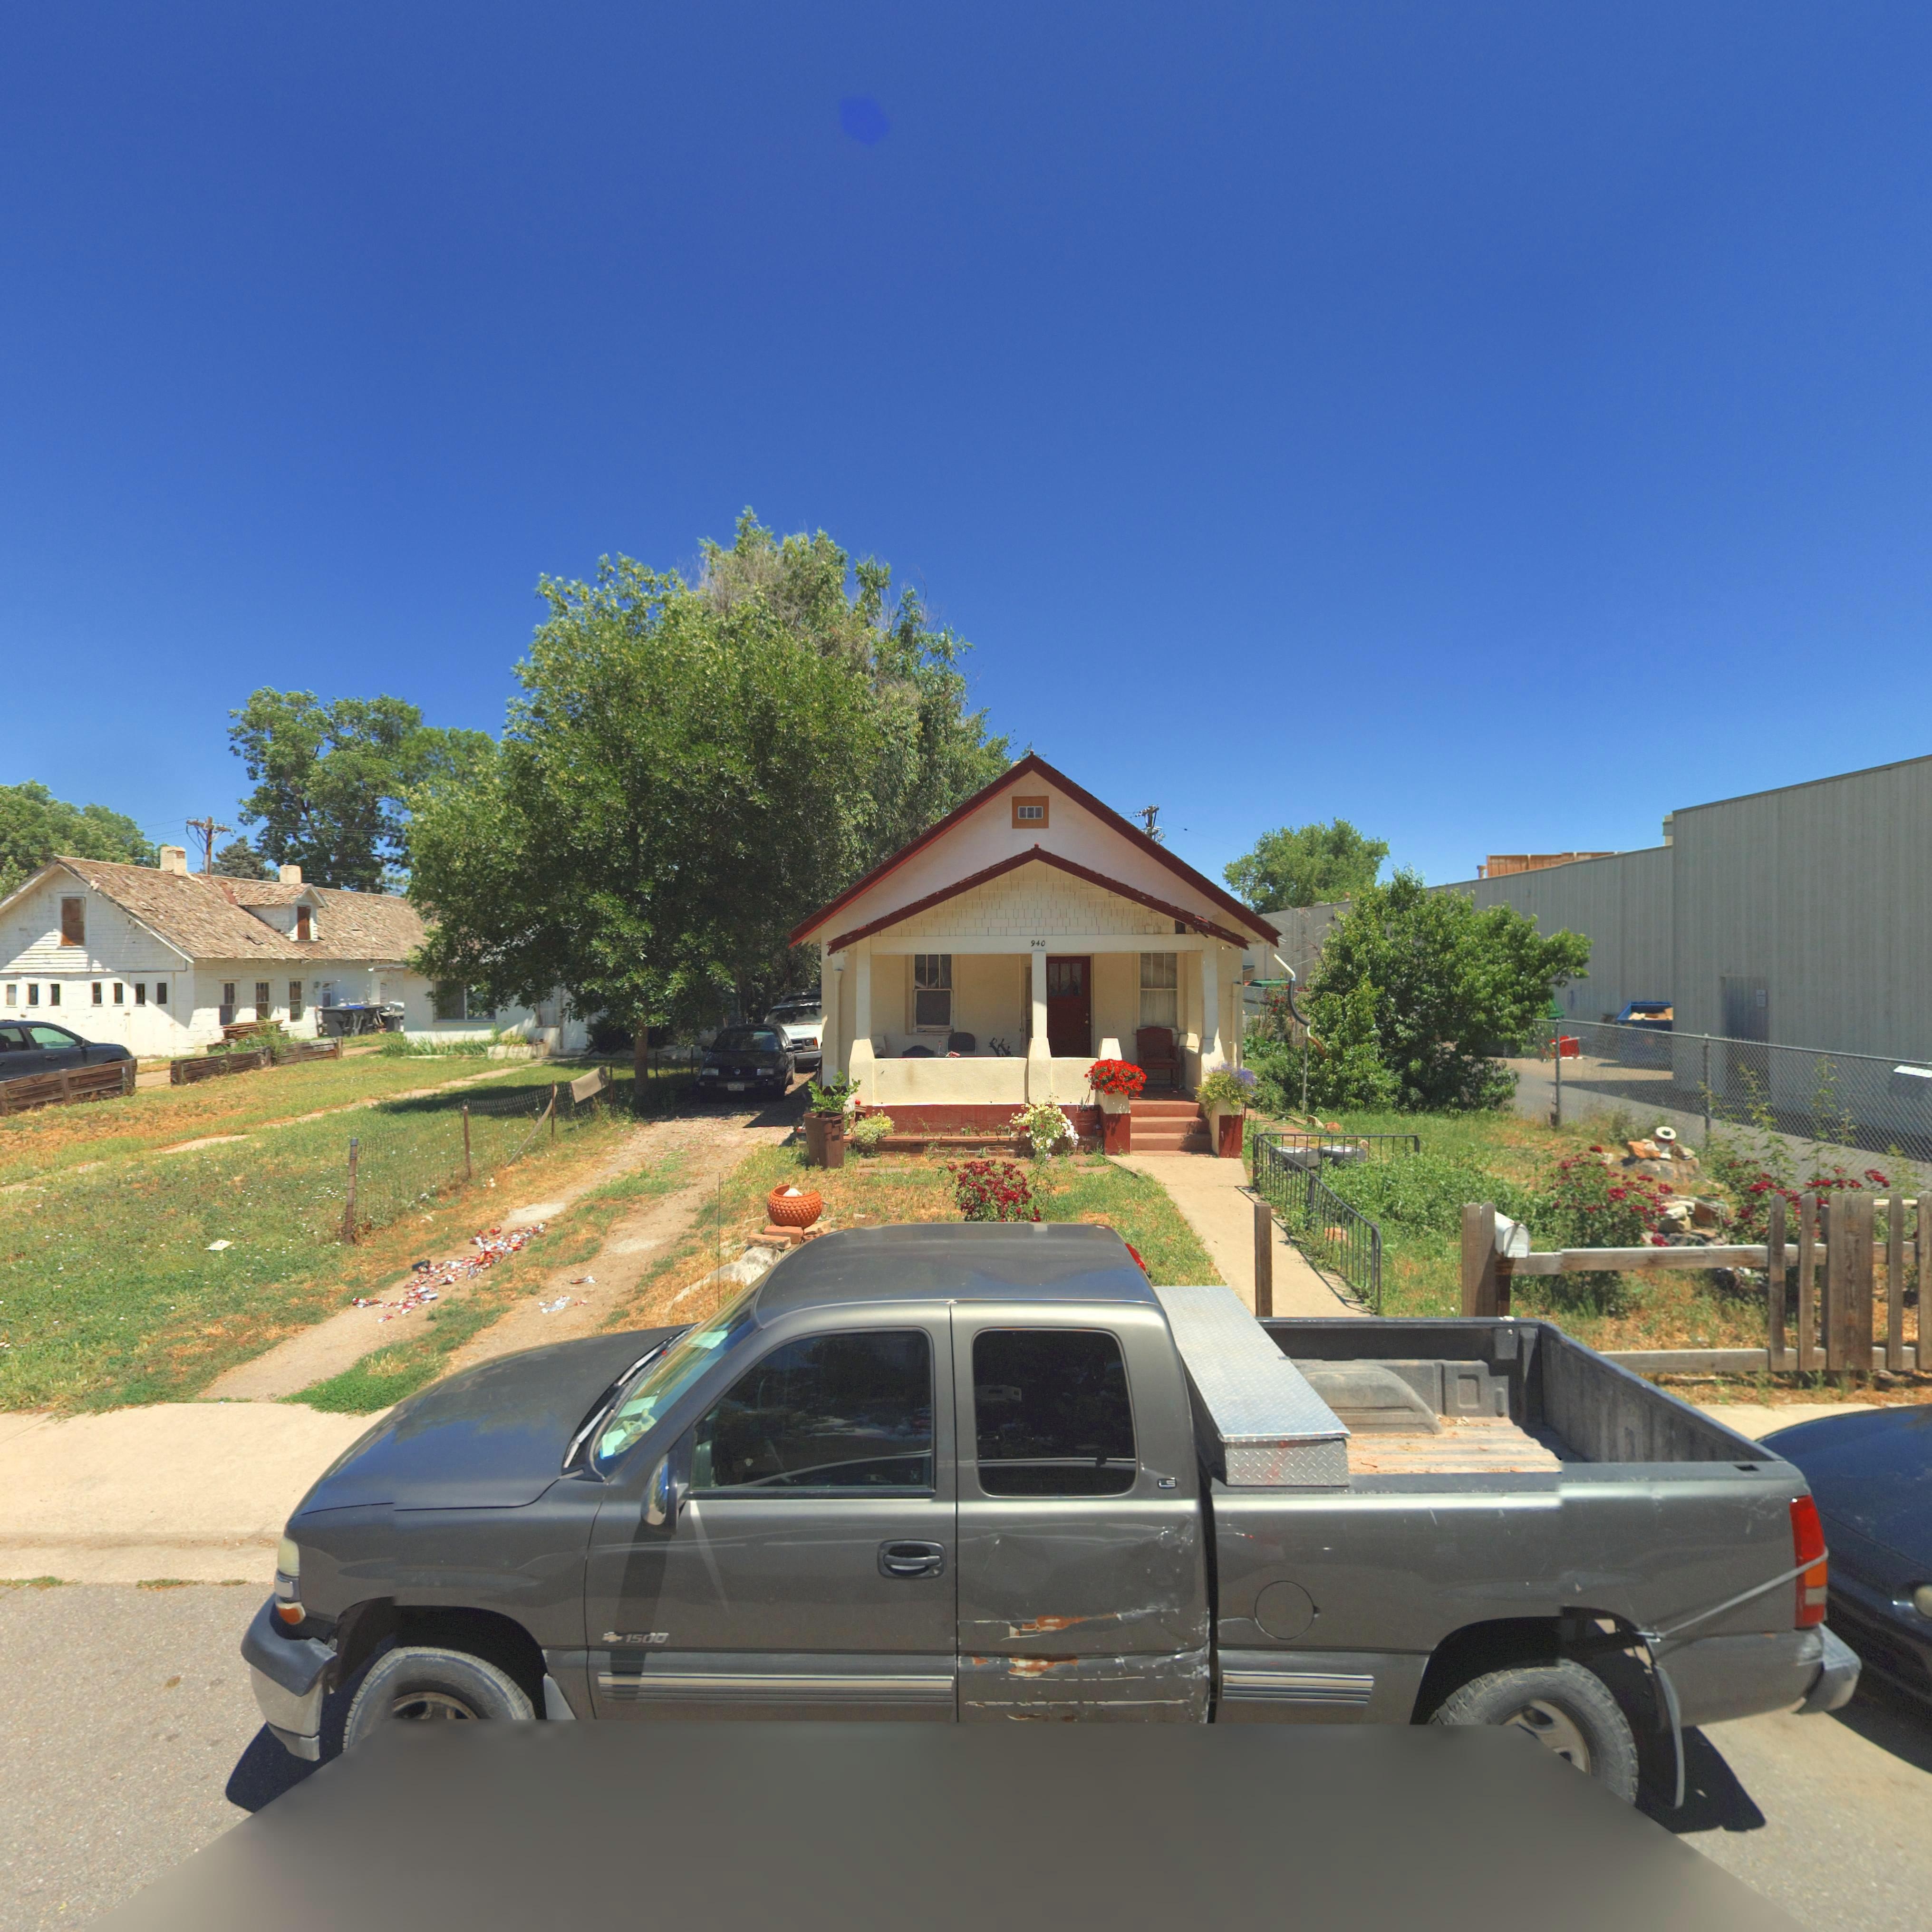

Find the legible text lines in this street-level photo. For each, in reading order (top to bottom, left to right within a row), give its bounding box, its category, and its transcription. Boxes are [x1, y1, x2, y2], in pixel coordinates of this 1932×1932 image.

[1031, 939, 1045, 947] StreetNumber: 940